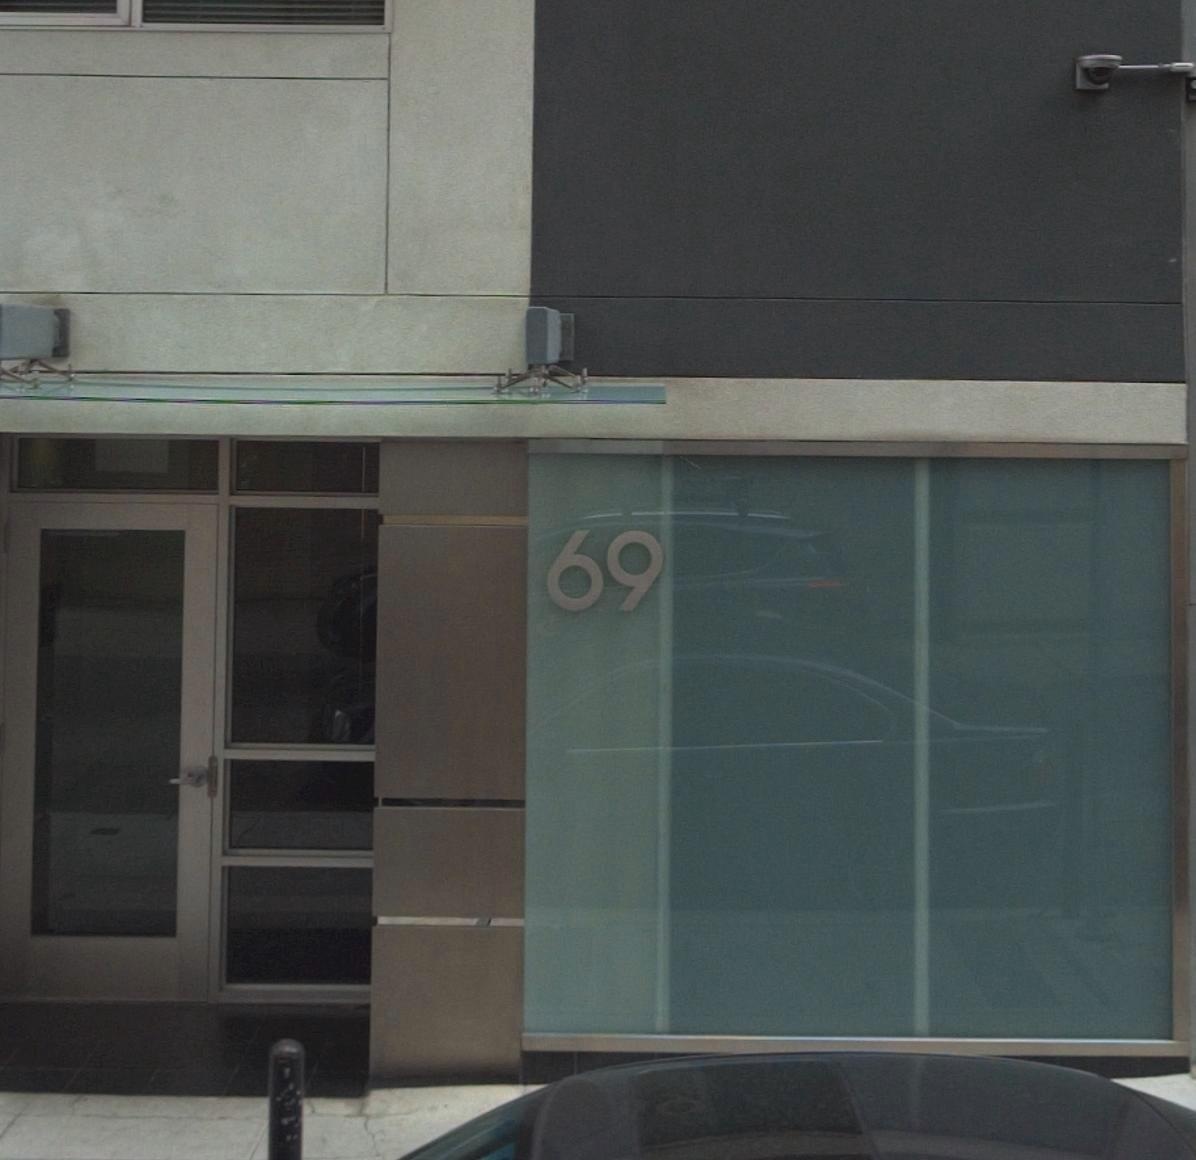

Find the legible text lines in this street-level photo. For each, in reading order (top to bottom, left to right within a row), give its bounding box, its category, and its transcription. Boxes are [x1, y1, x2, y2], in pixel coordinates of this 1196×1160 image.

[541, 524, 670, 617] StreetNumber: 69